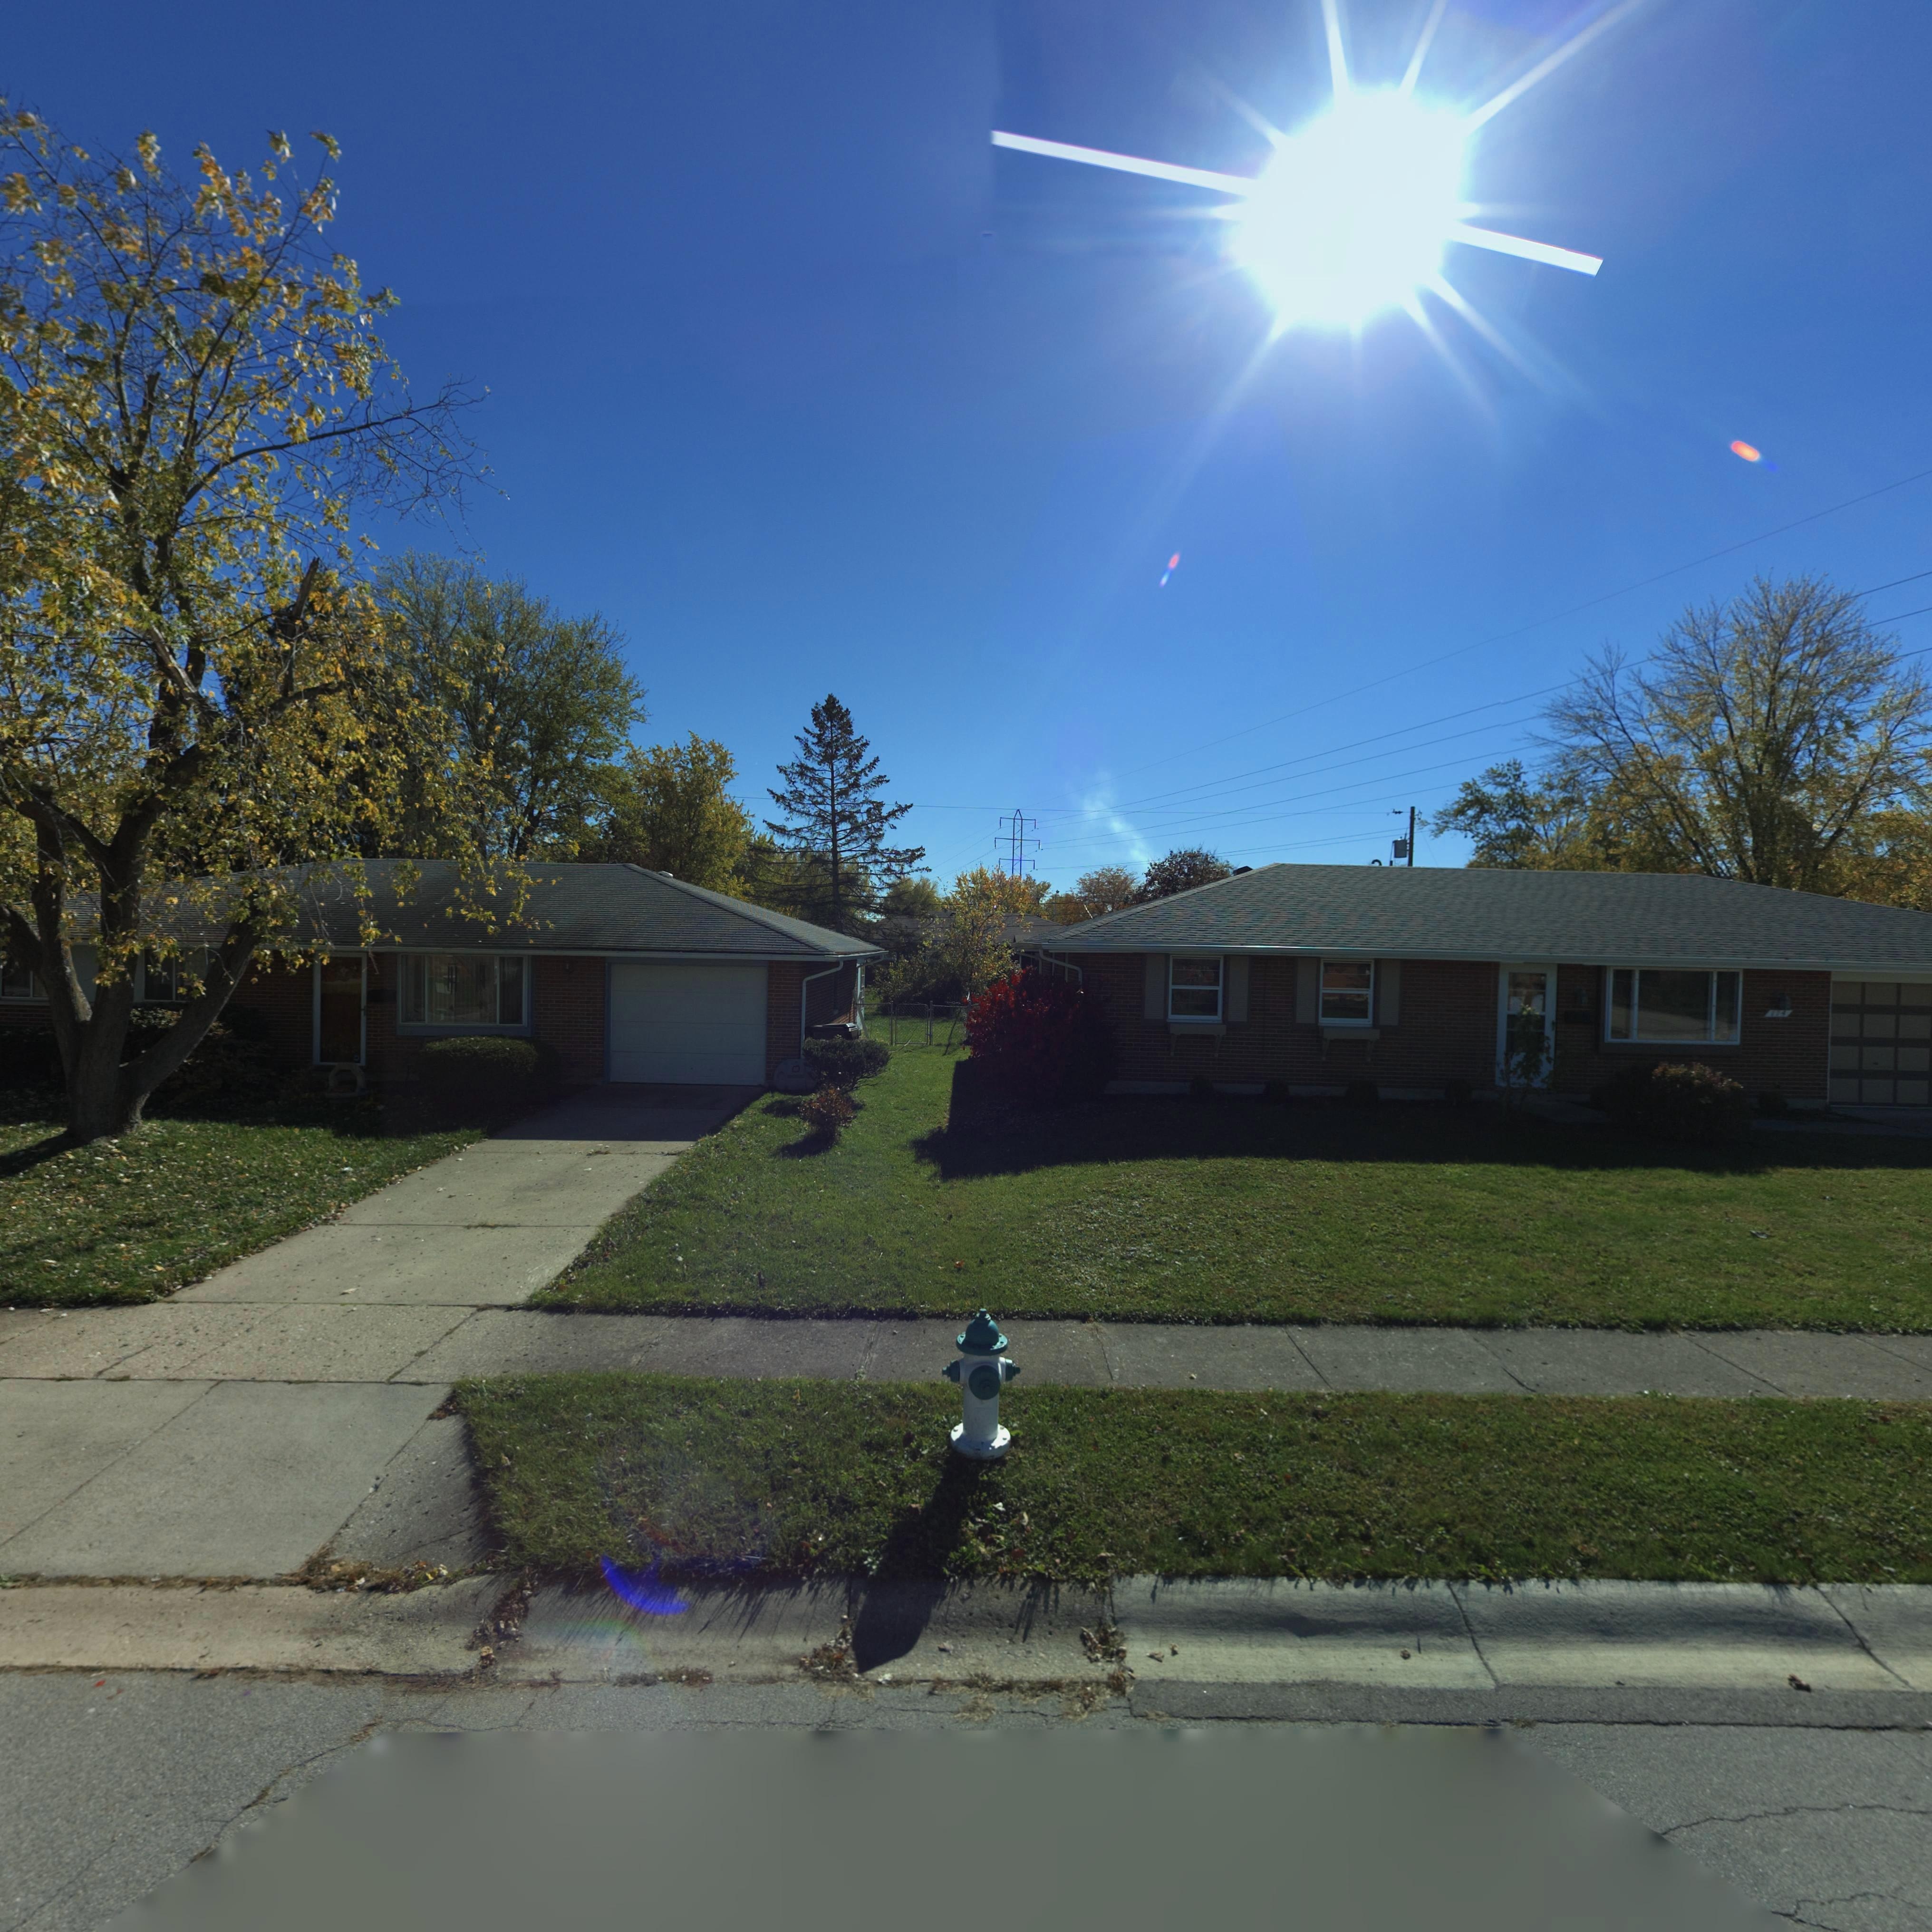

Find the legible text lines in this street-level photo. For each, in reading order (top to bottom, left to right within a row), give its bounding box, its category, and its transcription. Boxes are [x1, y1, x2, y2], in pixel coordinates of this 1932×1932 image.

[1769, 1010, 1787, 1017] StreetNumber: 114